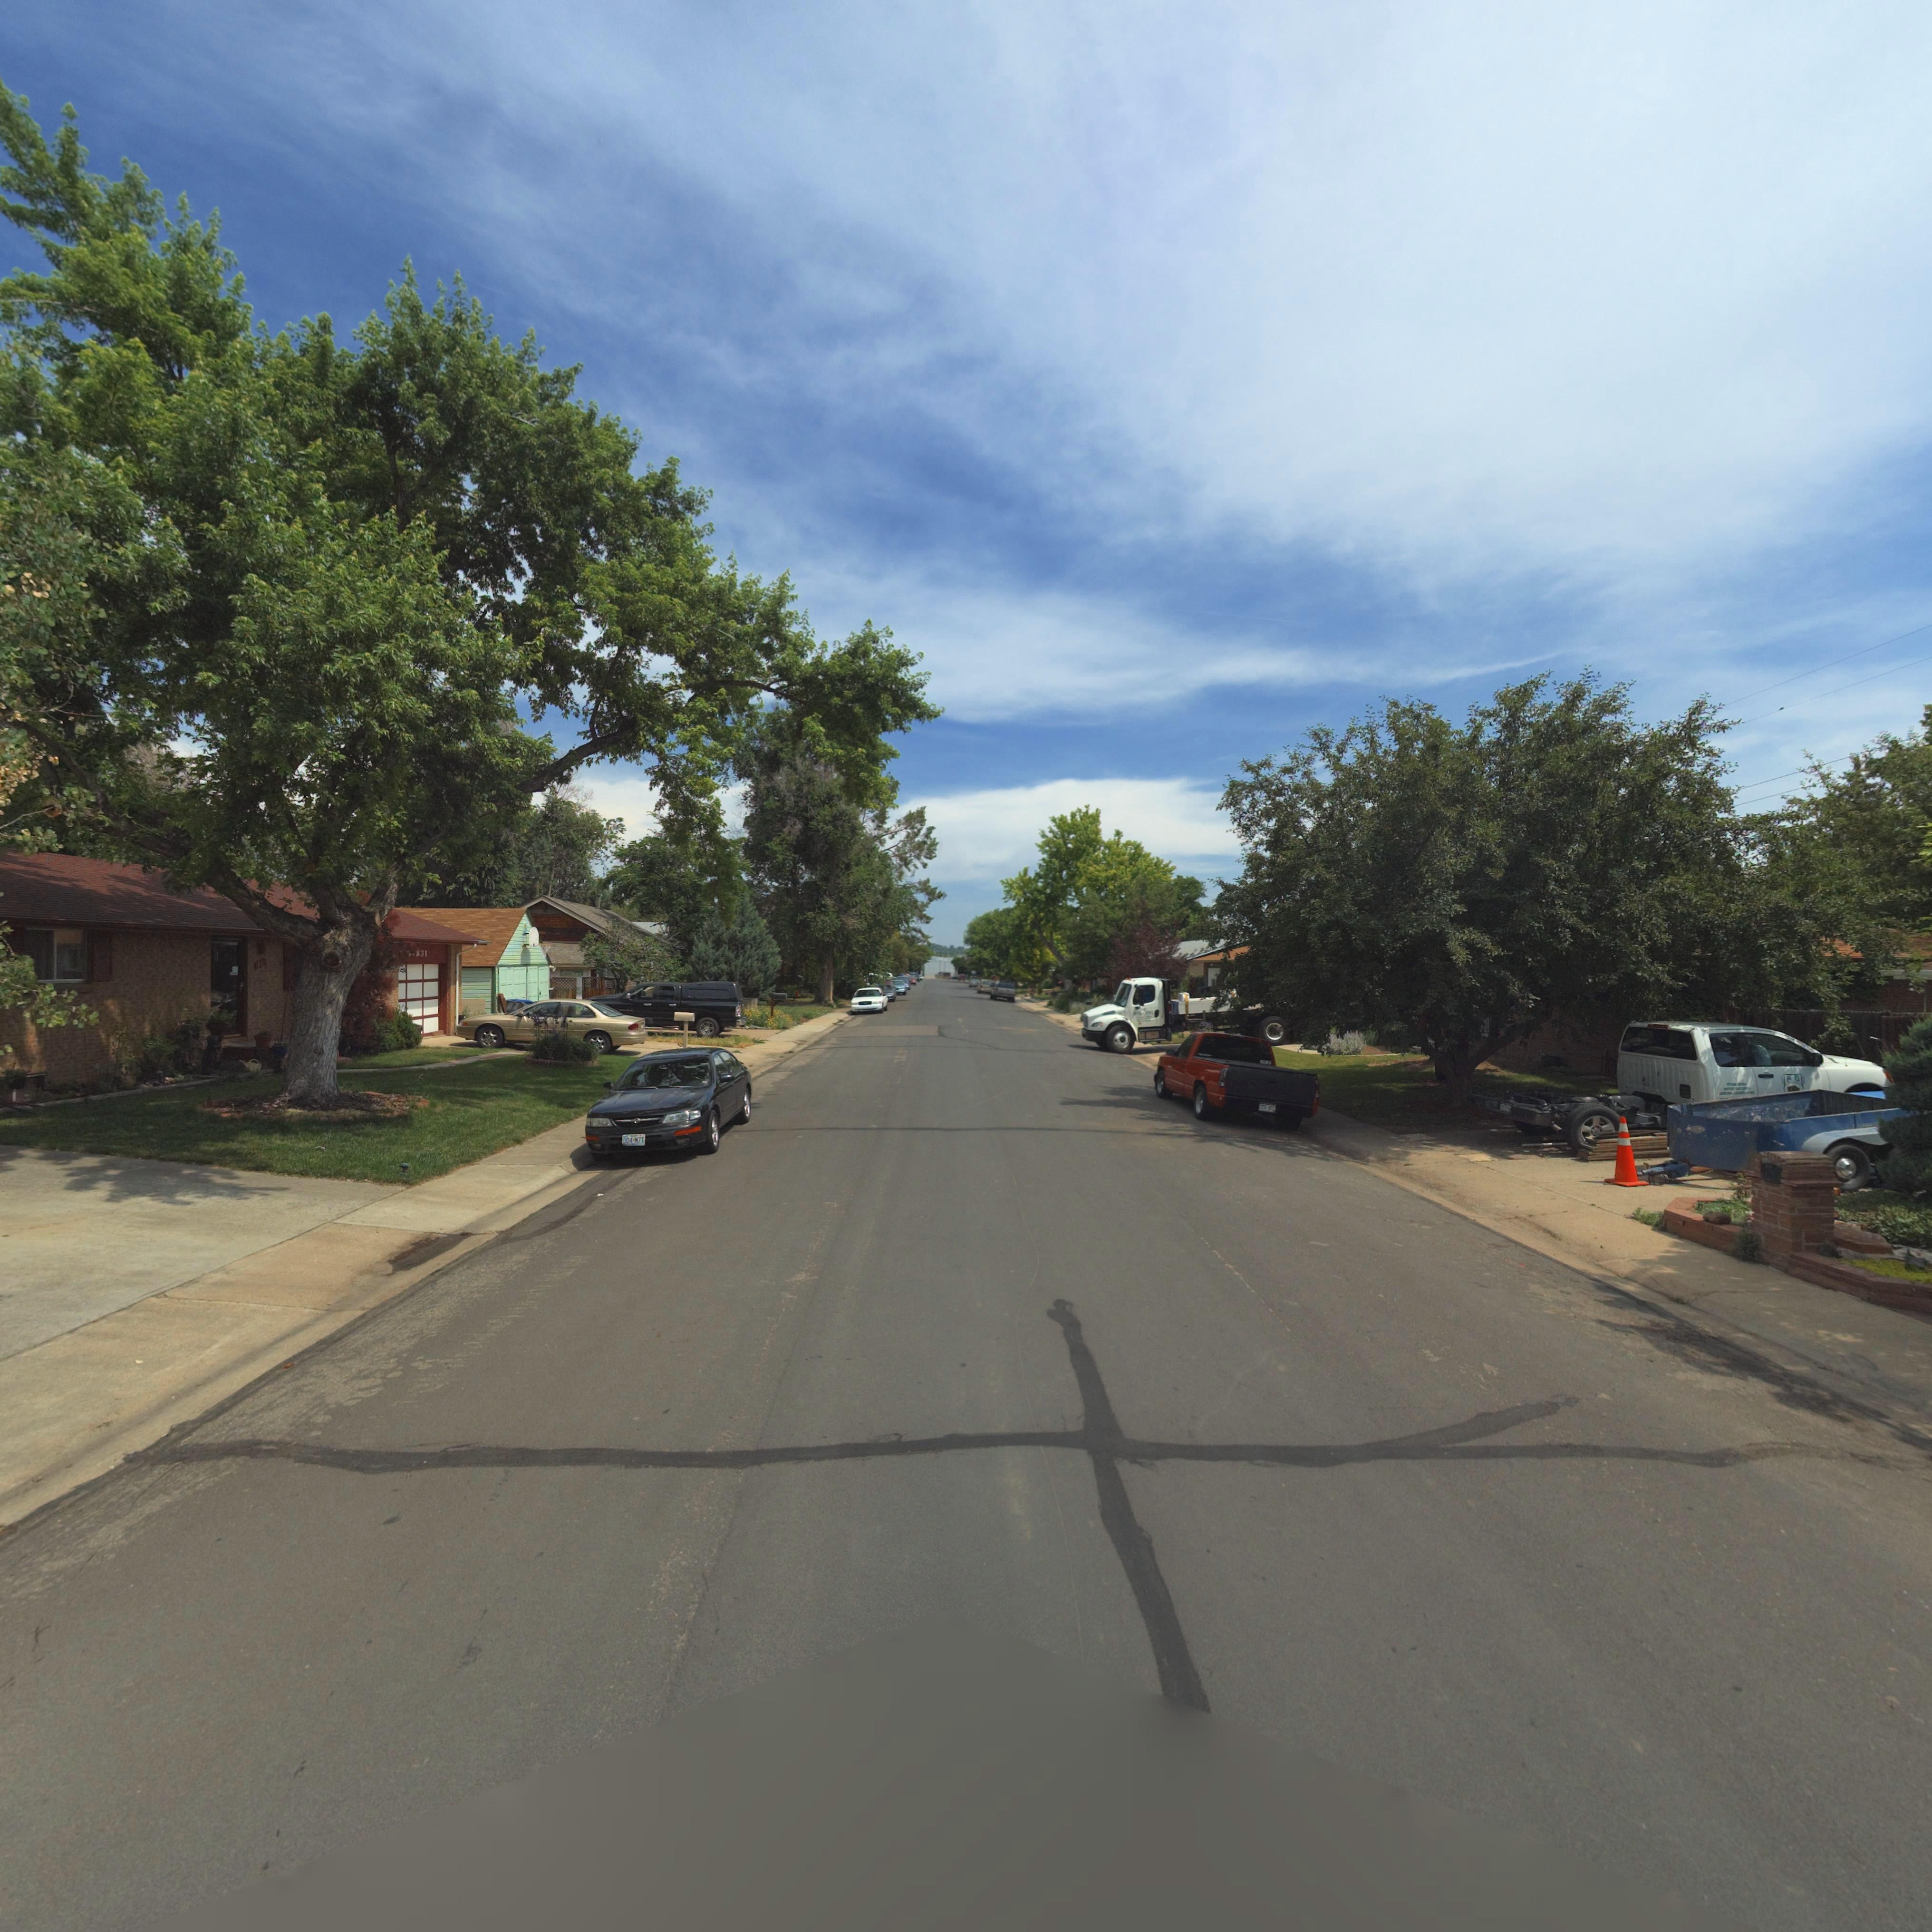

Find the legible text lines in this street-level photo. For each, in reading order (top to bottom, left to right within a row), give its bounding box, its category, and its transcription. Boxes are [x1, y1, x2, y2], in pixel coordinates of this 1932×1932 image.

[416, 950, 427, 956] StreetNumber: 831